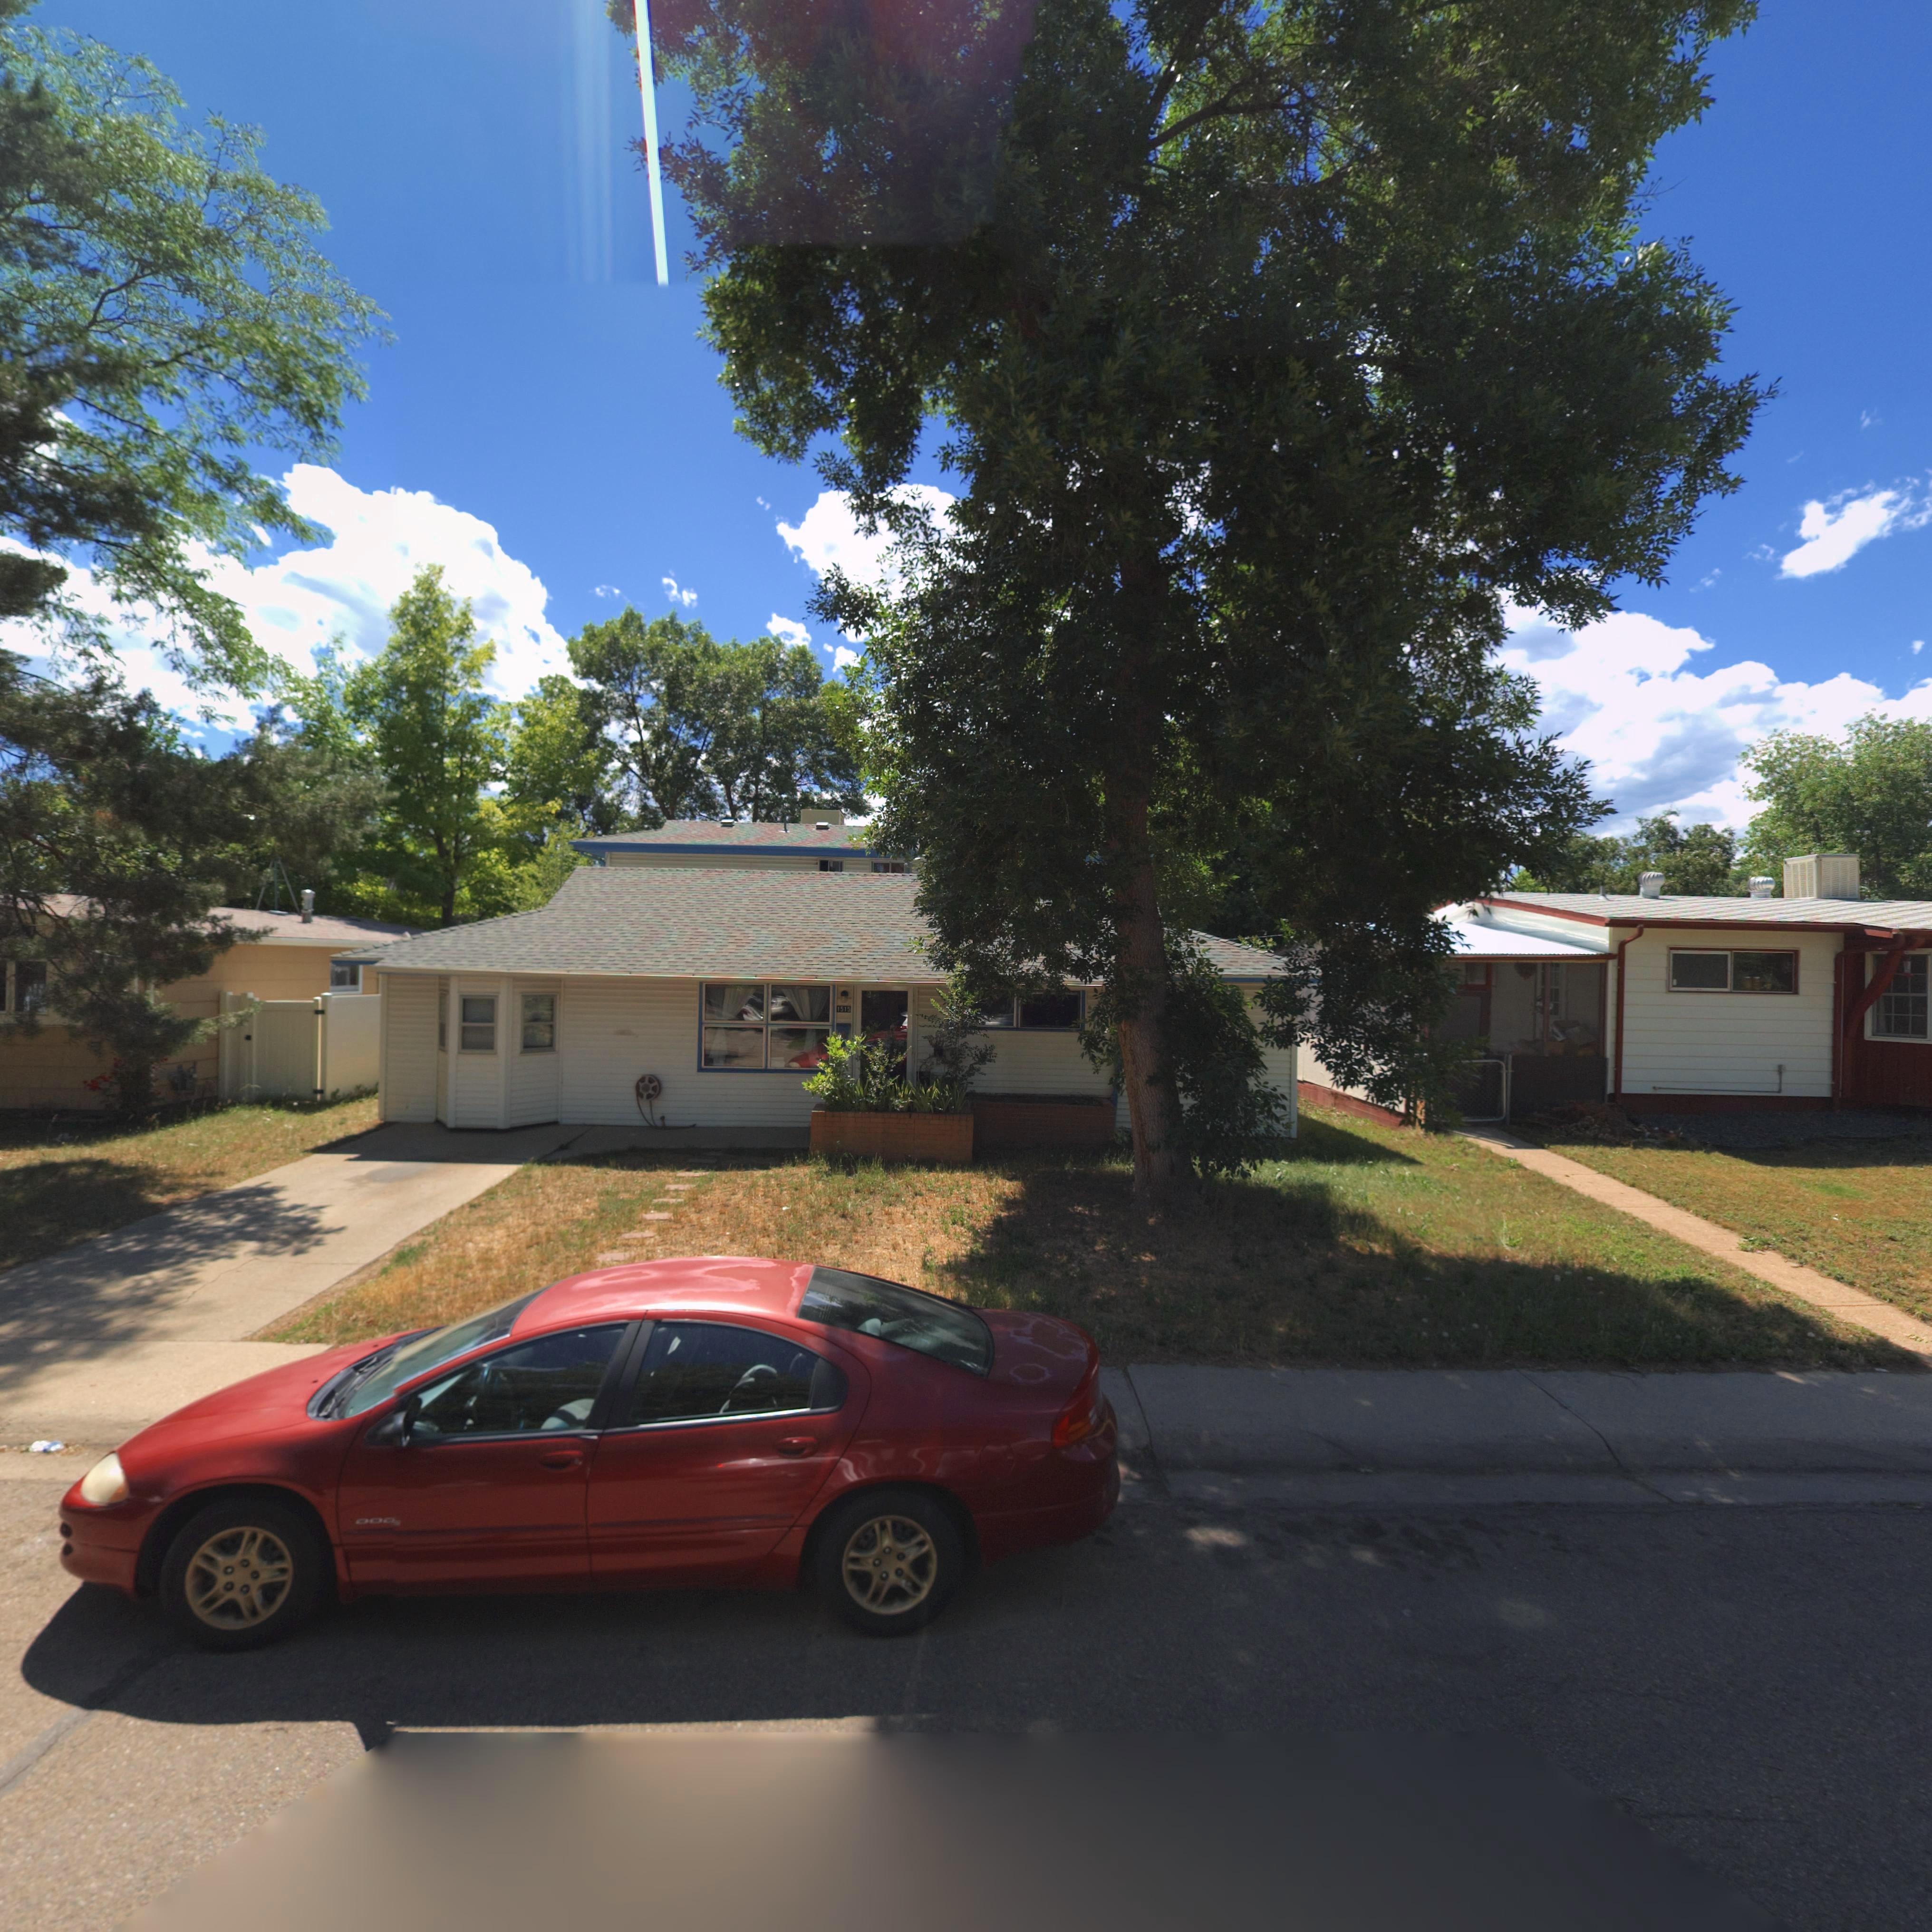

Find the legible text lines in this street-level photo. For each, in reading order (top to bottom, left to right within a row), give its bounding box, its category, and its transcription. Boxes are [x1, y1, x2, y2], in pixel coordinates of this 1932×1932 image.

[837, 1006, 850, 1012] StreetNumber: 1515